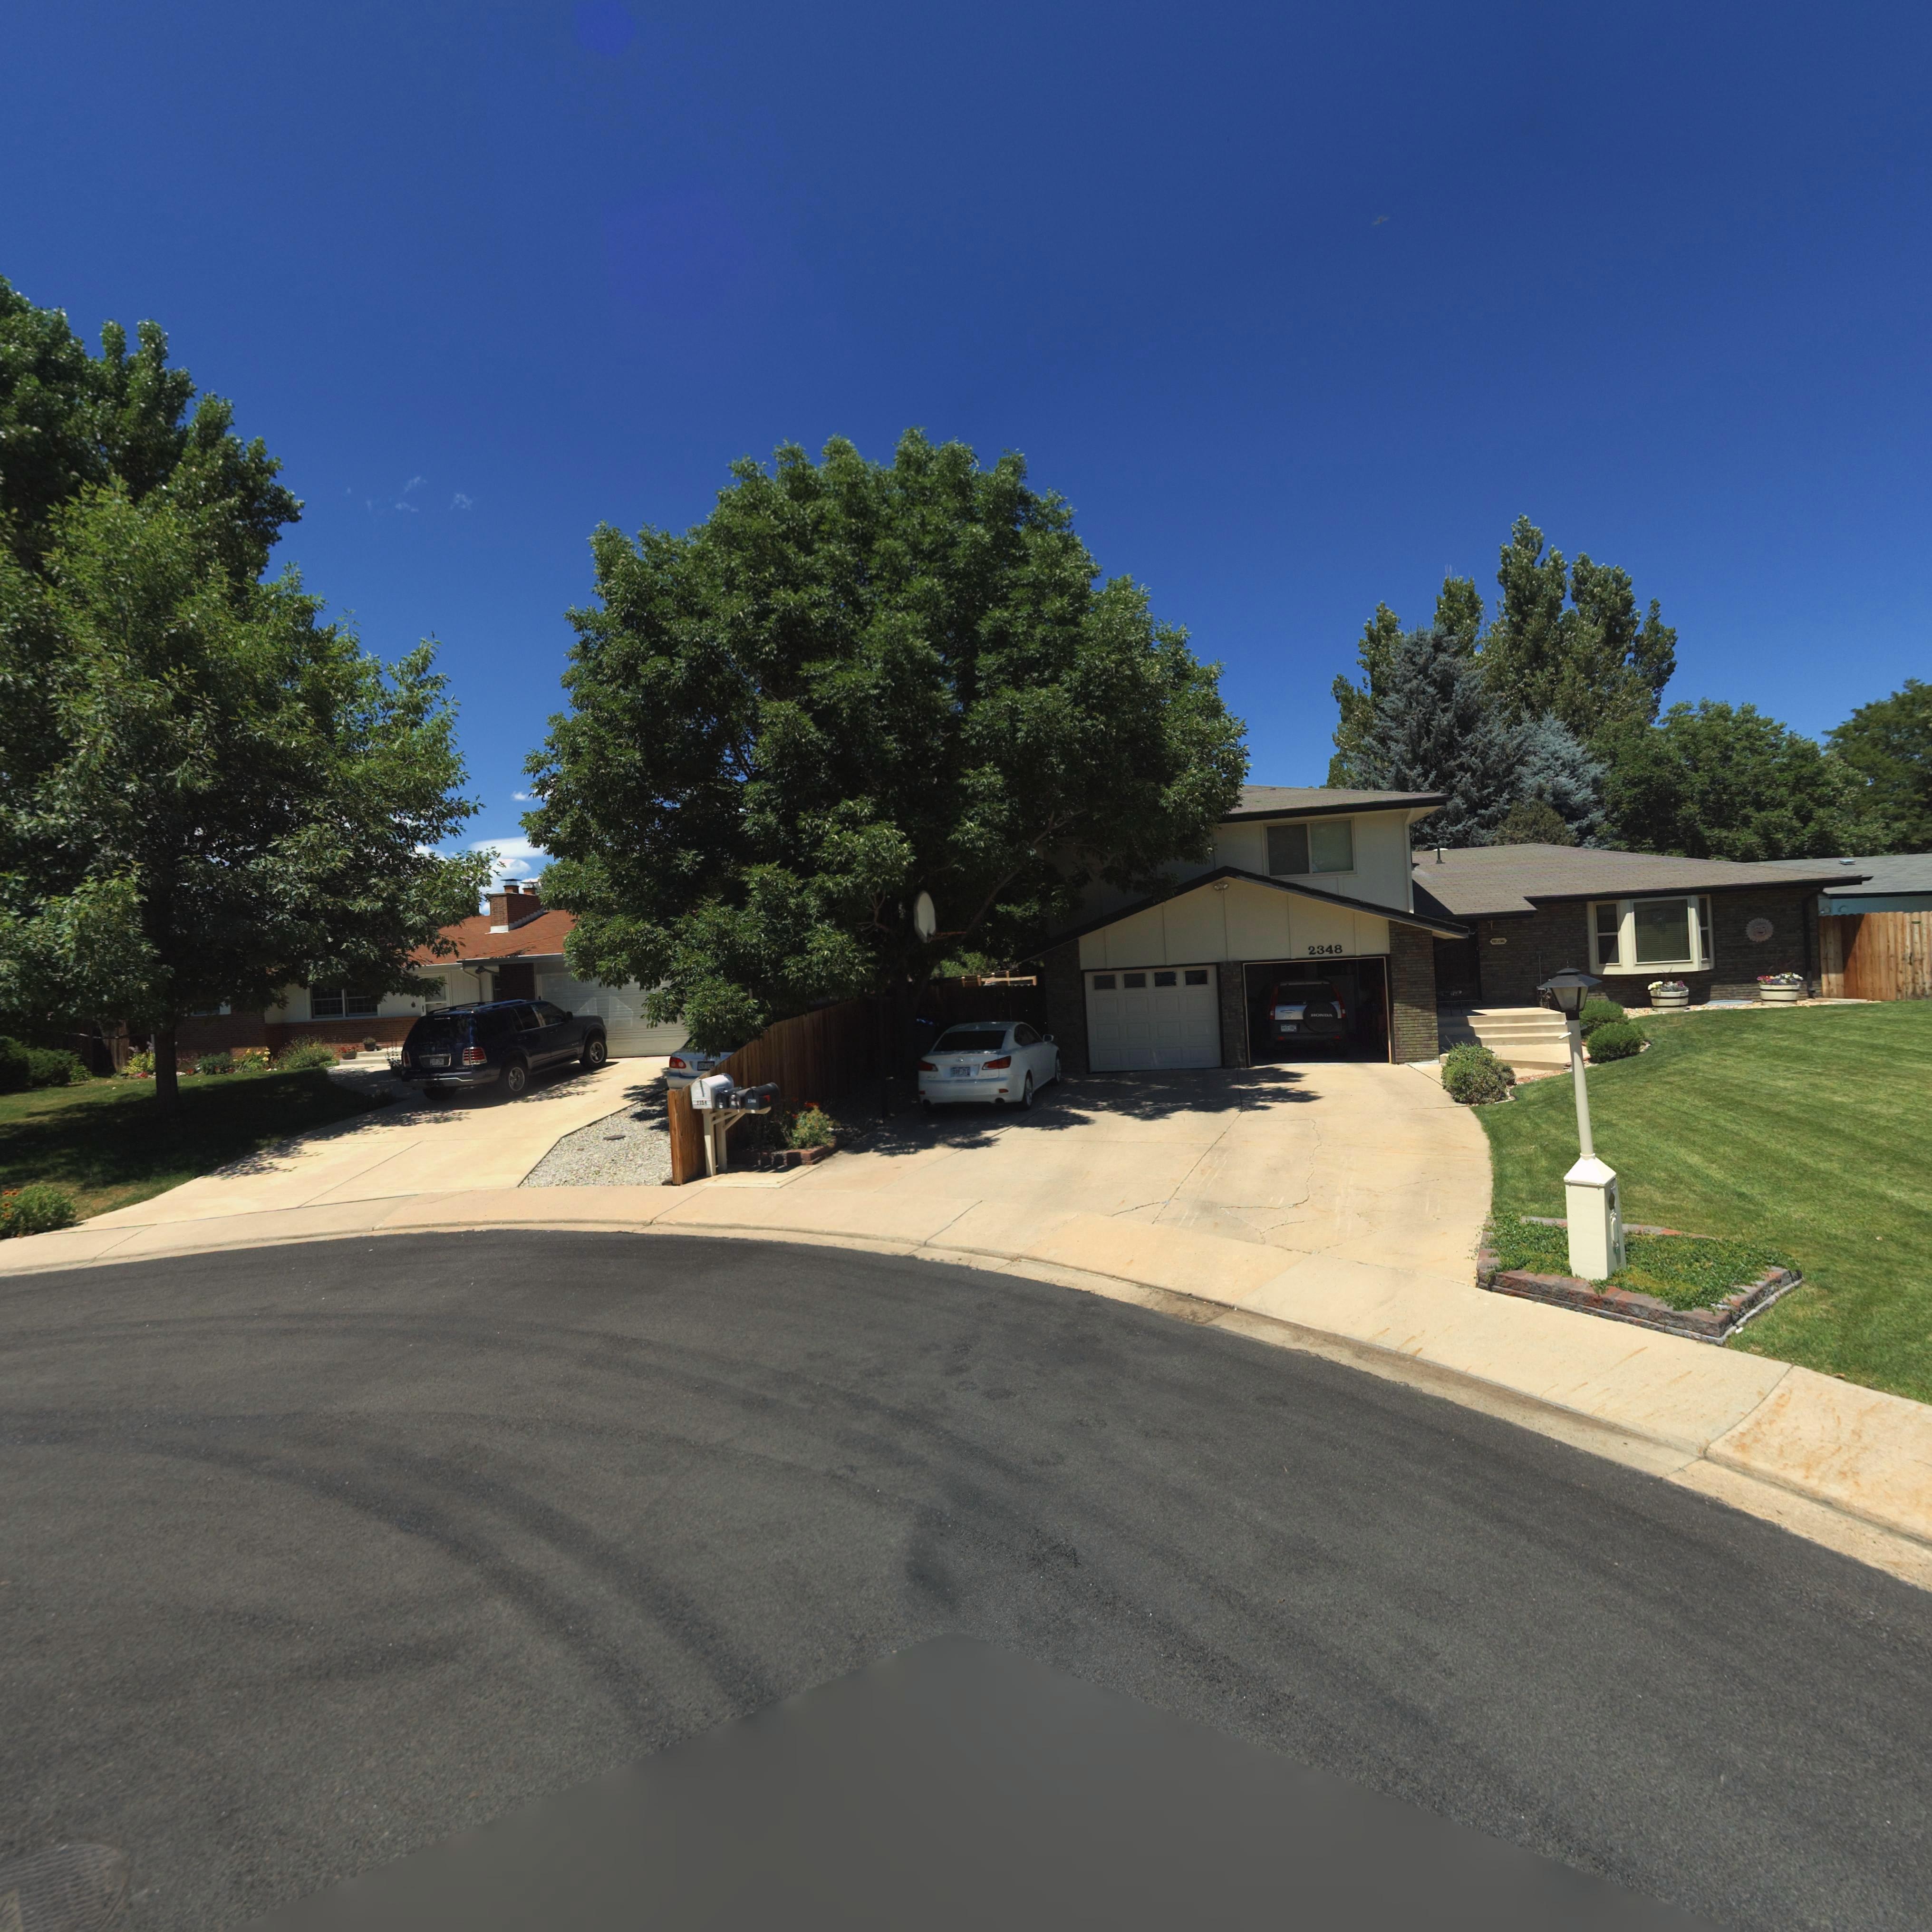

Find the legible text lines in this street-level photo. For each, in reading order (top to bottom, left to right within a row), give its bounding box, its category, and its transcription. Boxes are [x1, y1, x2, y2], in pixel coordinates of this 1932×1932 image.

[1308, 944, 1343, 955] StreetNumber: 2348
[696, 1100, 707, 1105] StreetNumber: 2354
[747, 1098, 756, 1103] StreetNumber: 234*